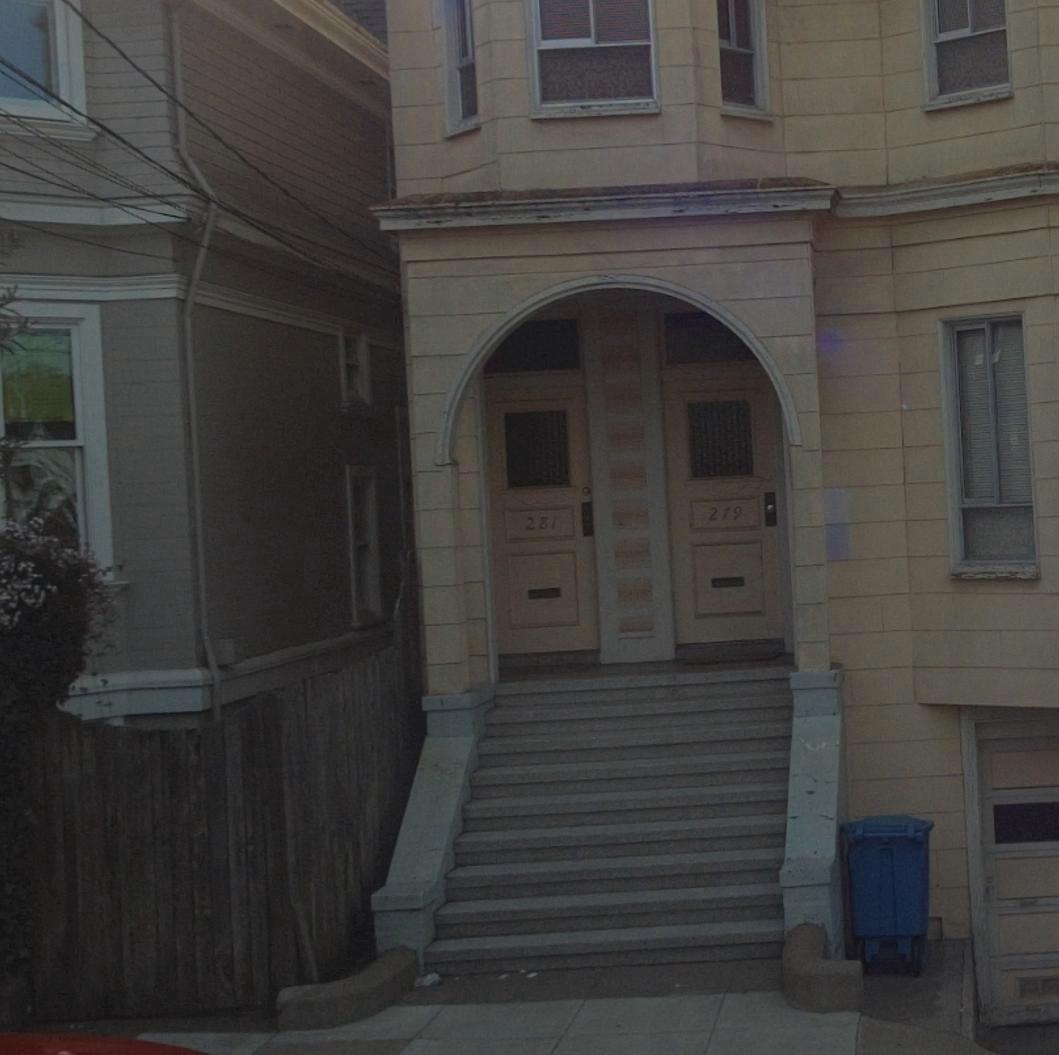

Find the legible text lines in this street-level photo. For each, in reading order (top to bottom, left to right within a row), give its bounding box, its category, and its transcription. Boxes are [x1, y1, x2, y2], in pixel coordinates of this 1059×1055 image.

[707, 506, 743, 522] StreetNumber: 279
[524, 515, 559, 531] StreetNumber: 281